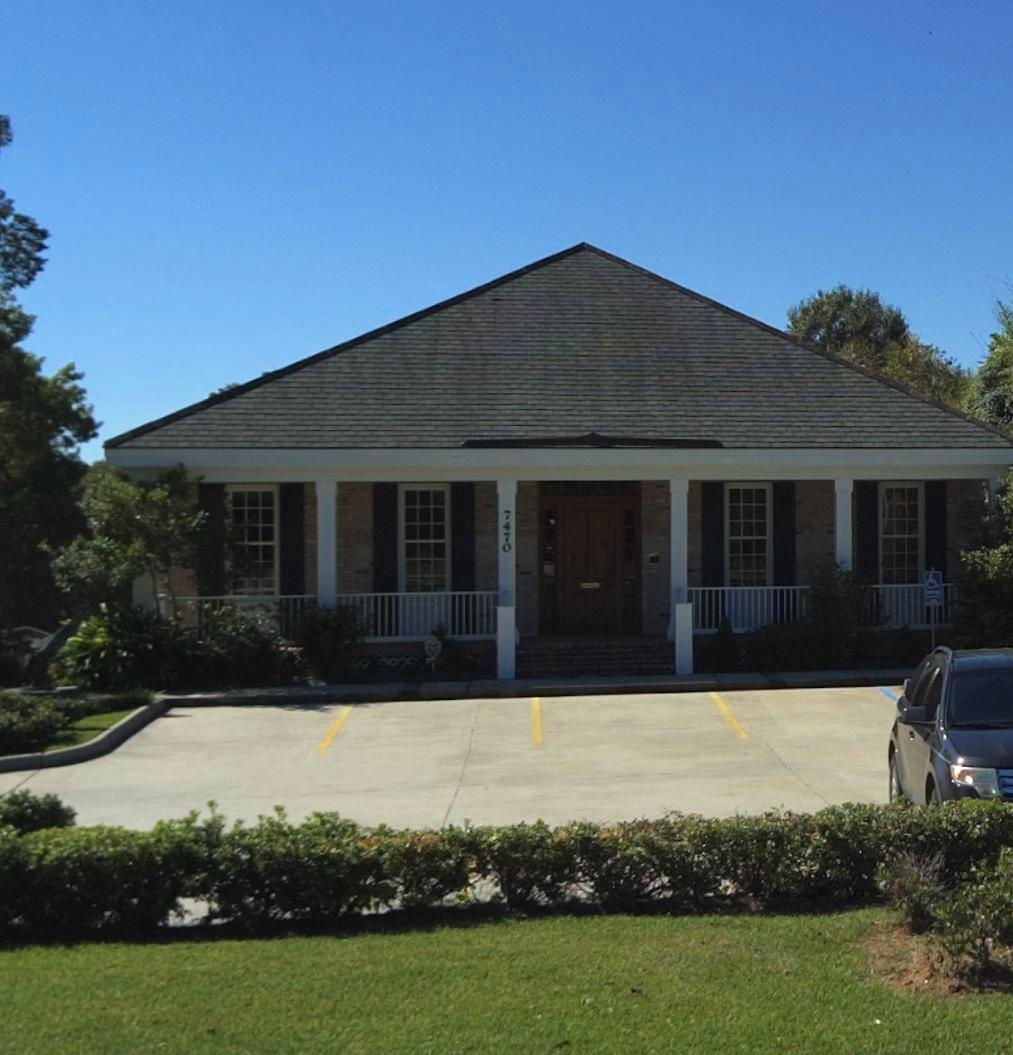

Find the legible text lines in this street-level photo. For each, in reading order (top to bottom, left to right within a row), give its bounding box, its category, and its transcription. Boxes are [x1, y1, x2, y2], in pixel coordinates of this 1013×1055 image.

[501, 509, 512, 553] StreetNumber: 7470